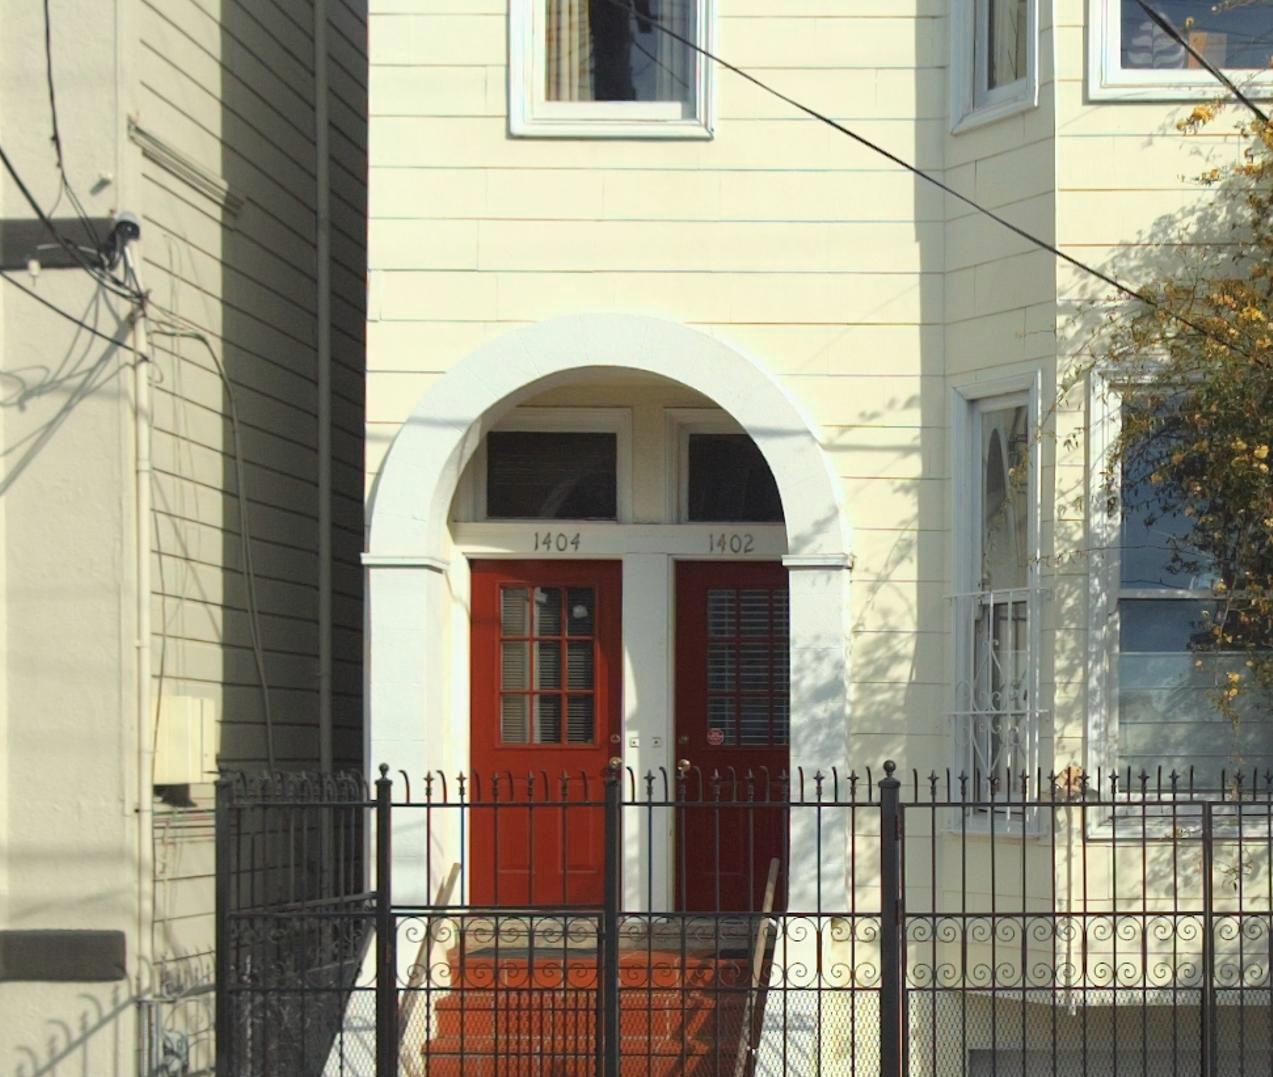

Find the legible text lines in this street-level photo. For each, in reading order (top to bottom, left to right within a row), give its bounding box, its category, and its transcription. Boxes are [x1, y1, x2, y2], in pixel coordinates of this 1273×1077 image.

[531, 529, 584, 555] StreetNumber: 1404
[706, 531, 758, 556] StreetNumber: 1402